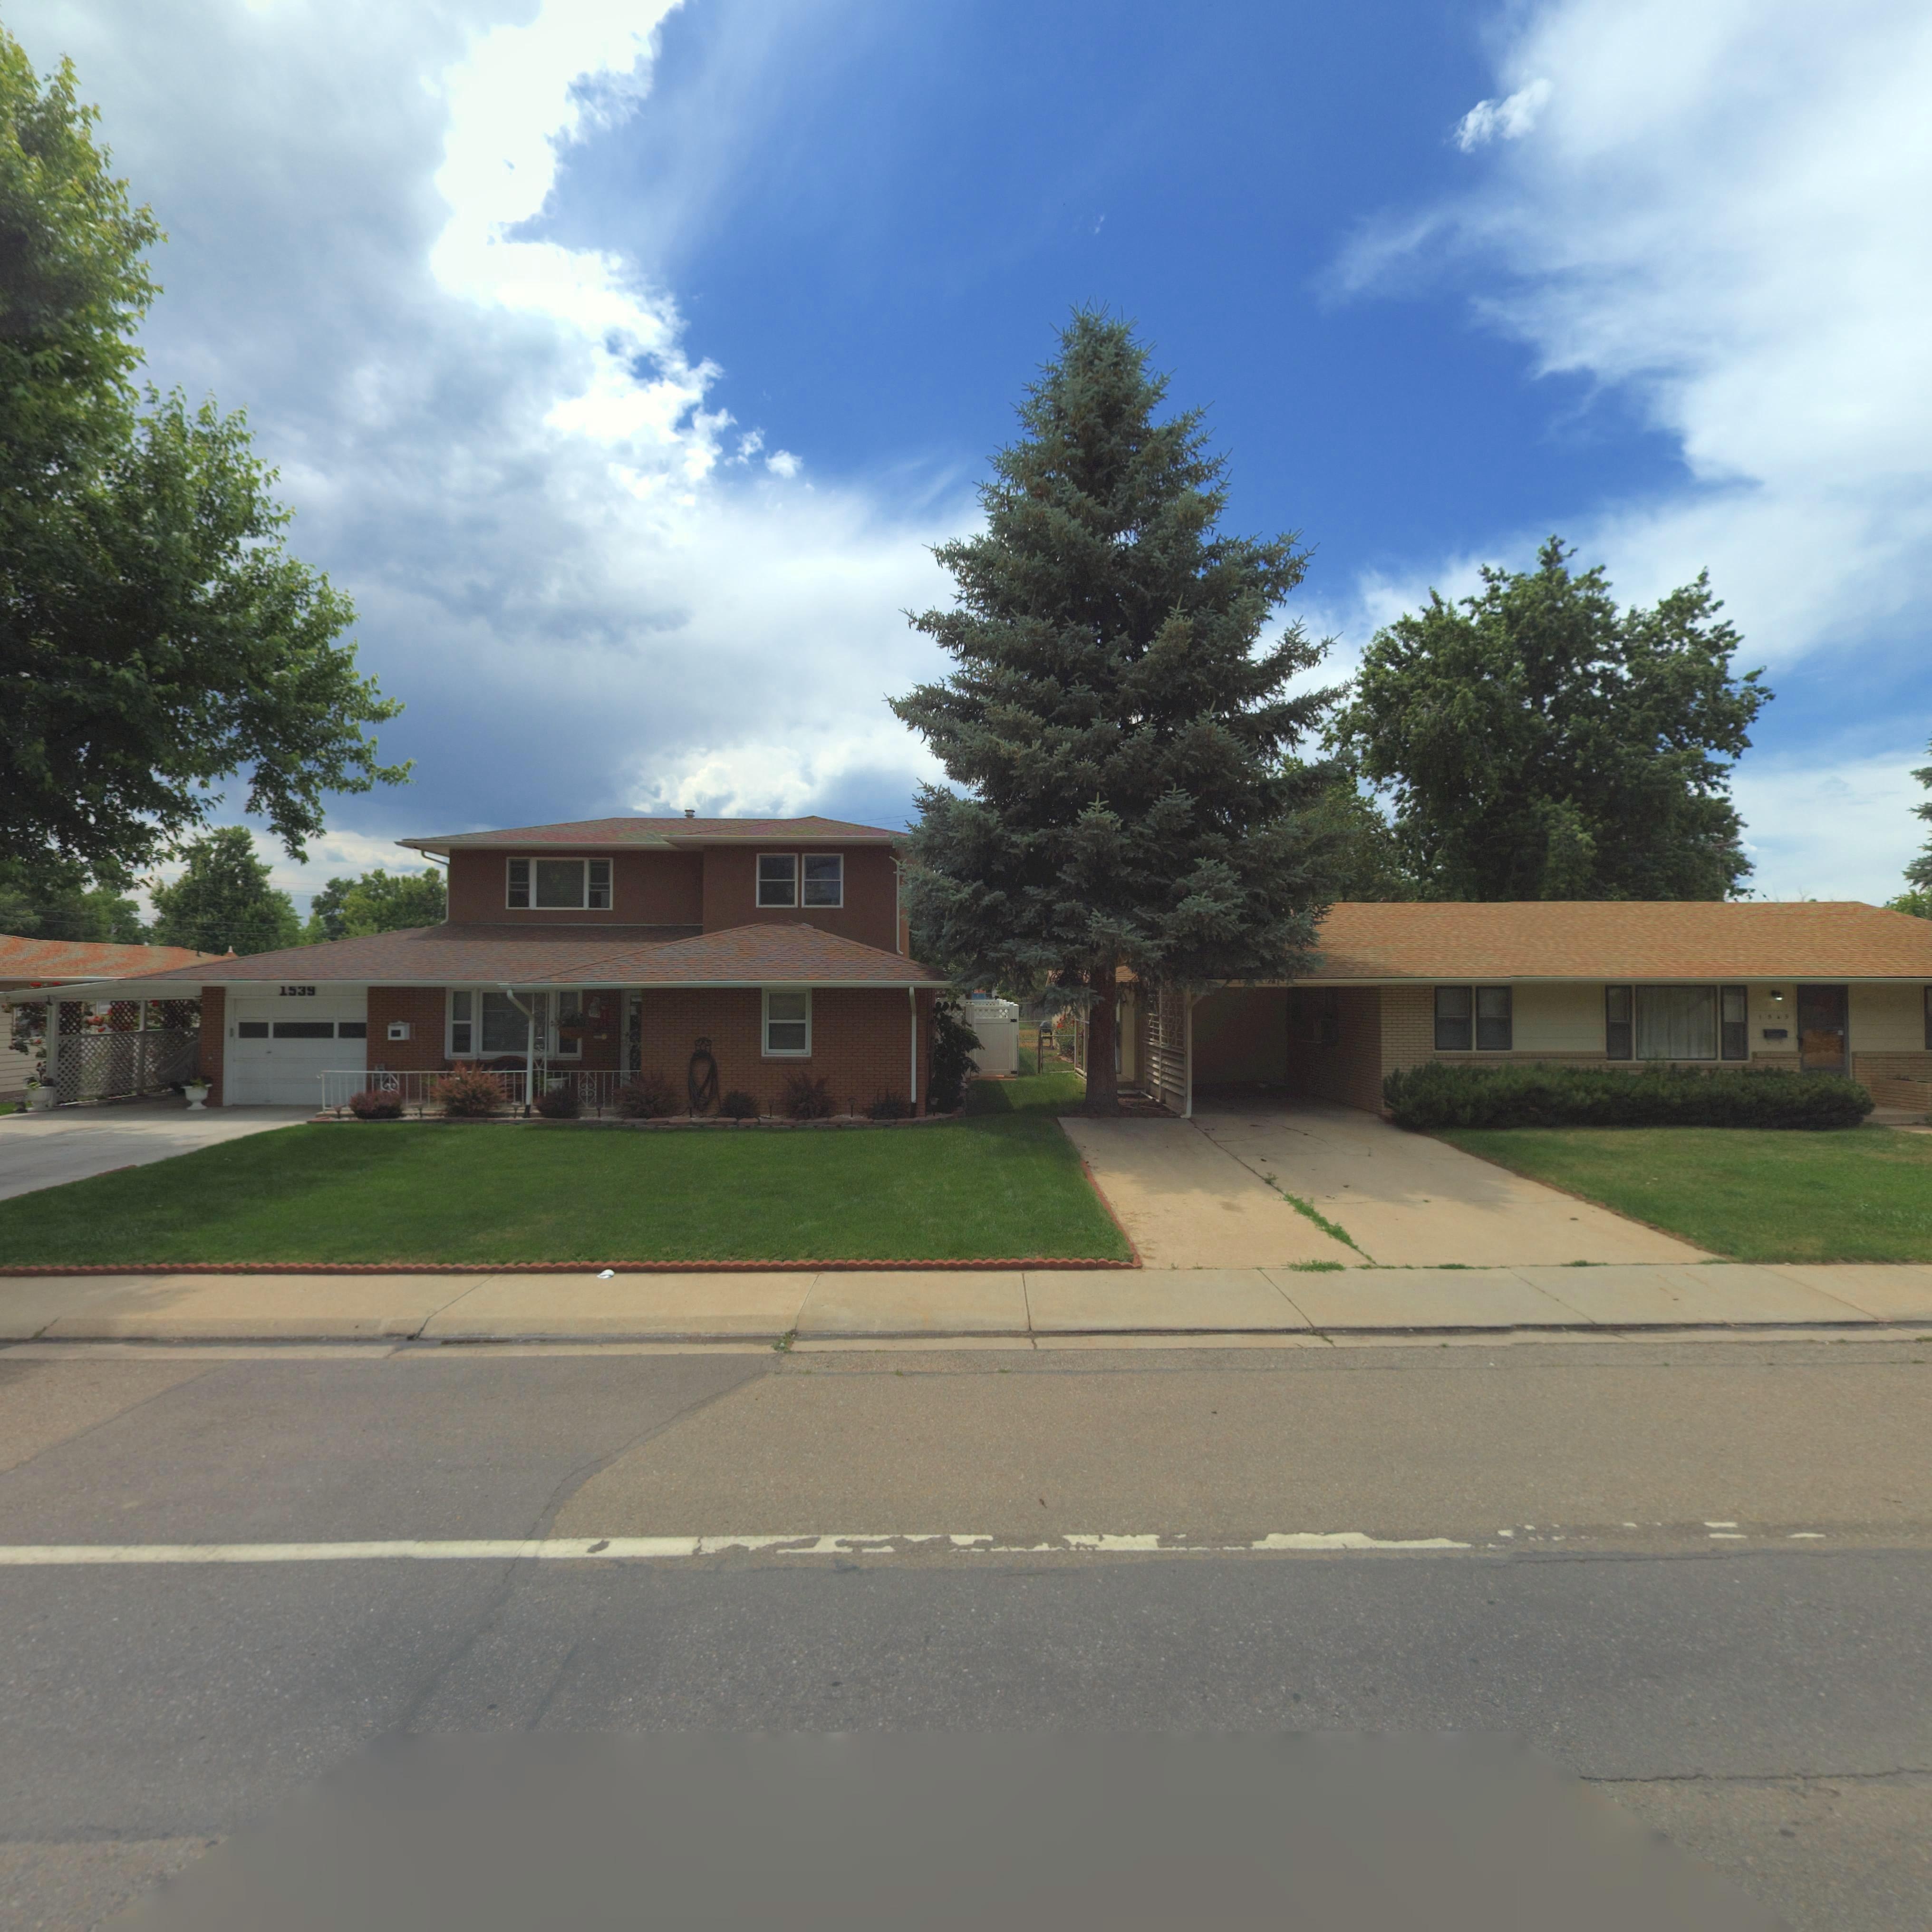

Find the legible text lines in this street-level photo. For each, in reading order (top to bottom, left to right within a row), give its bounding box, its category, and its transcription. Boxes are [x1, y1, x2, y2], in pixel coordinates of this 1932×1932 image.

[278, 985, 316, 996] StreetNumber: 1539
[1758, 1013, 1788, 1020] StreetNumber: 15*5